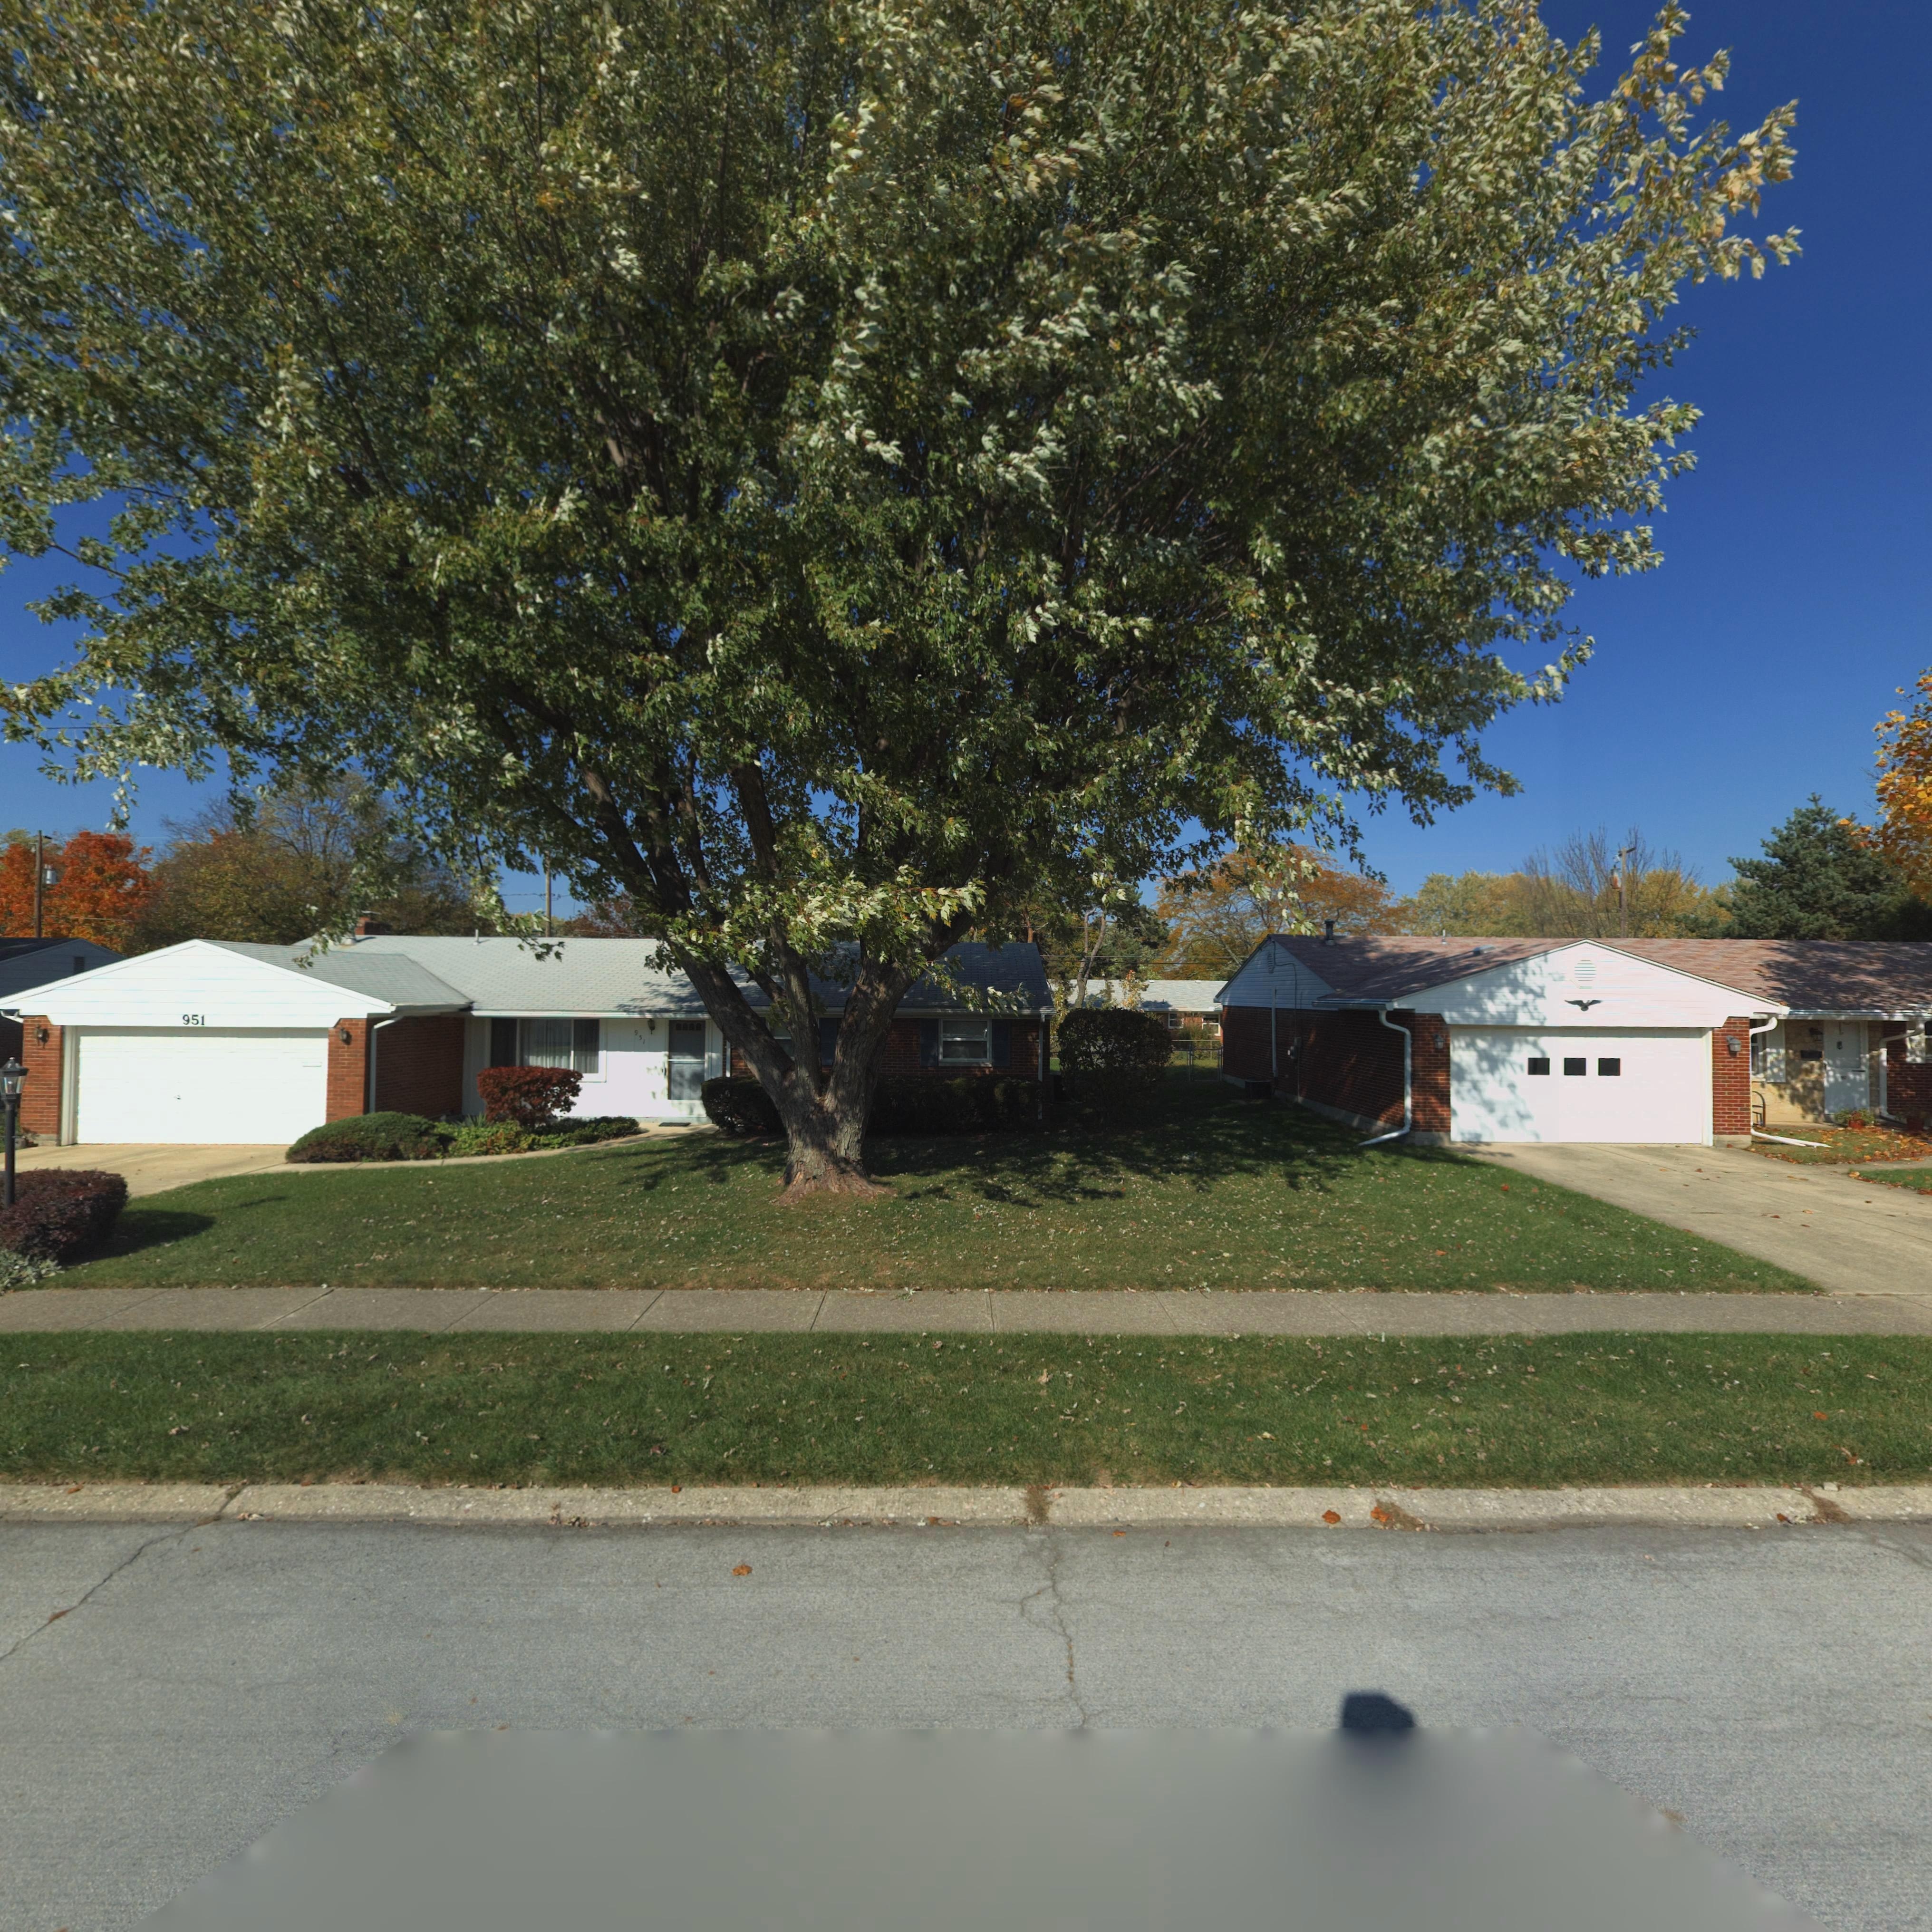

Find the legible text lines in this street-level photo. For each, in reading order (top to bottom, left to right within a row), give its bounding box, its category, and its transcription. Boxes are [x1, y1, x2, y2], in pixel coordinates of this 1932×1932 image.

[181, 1013, 206, 1027] StreetNumber: 951
[633, 1029, 647, 1045] StreetNumber: 951